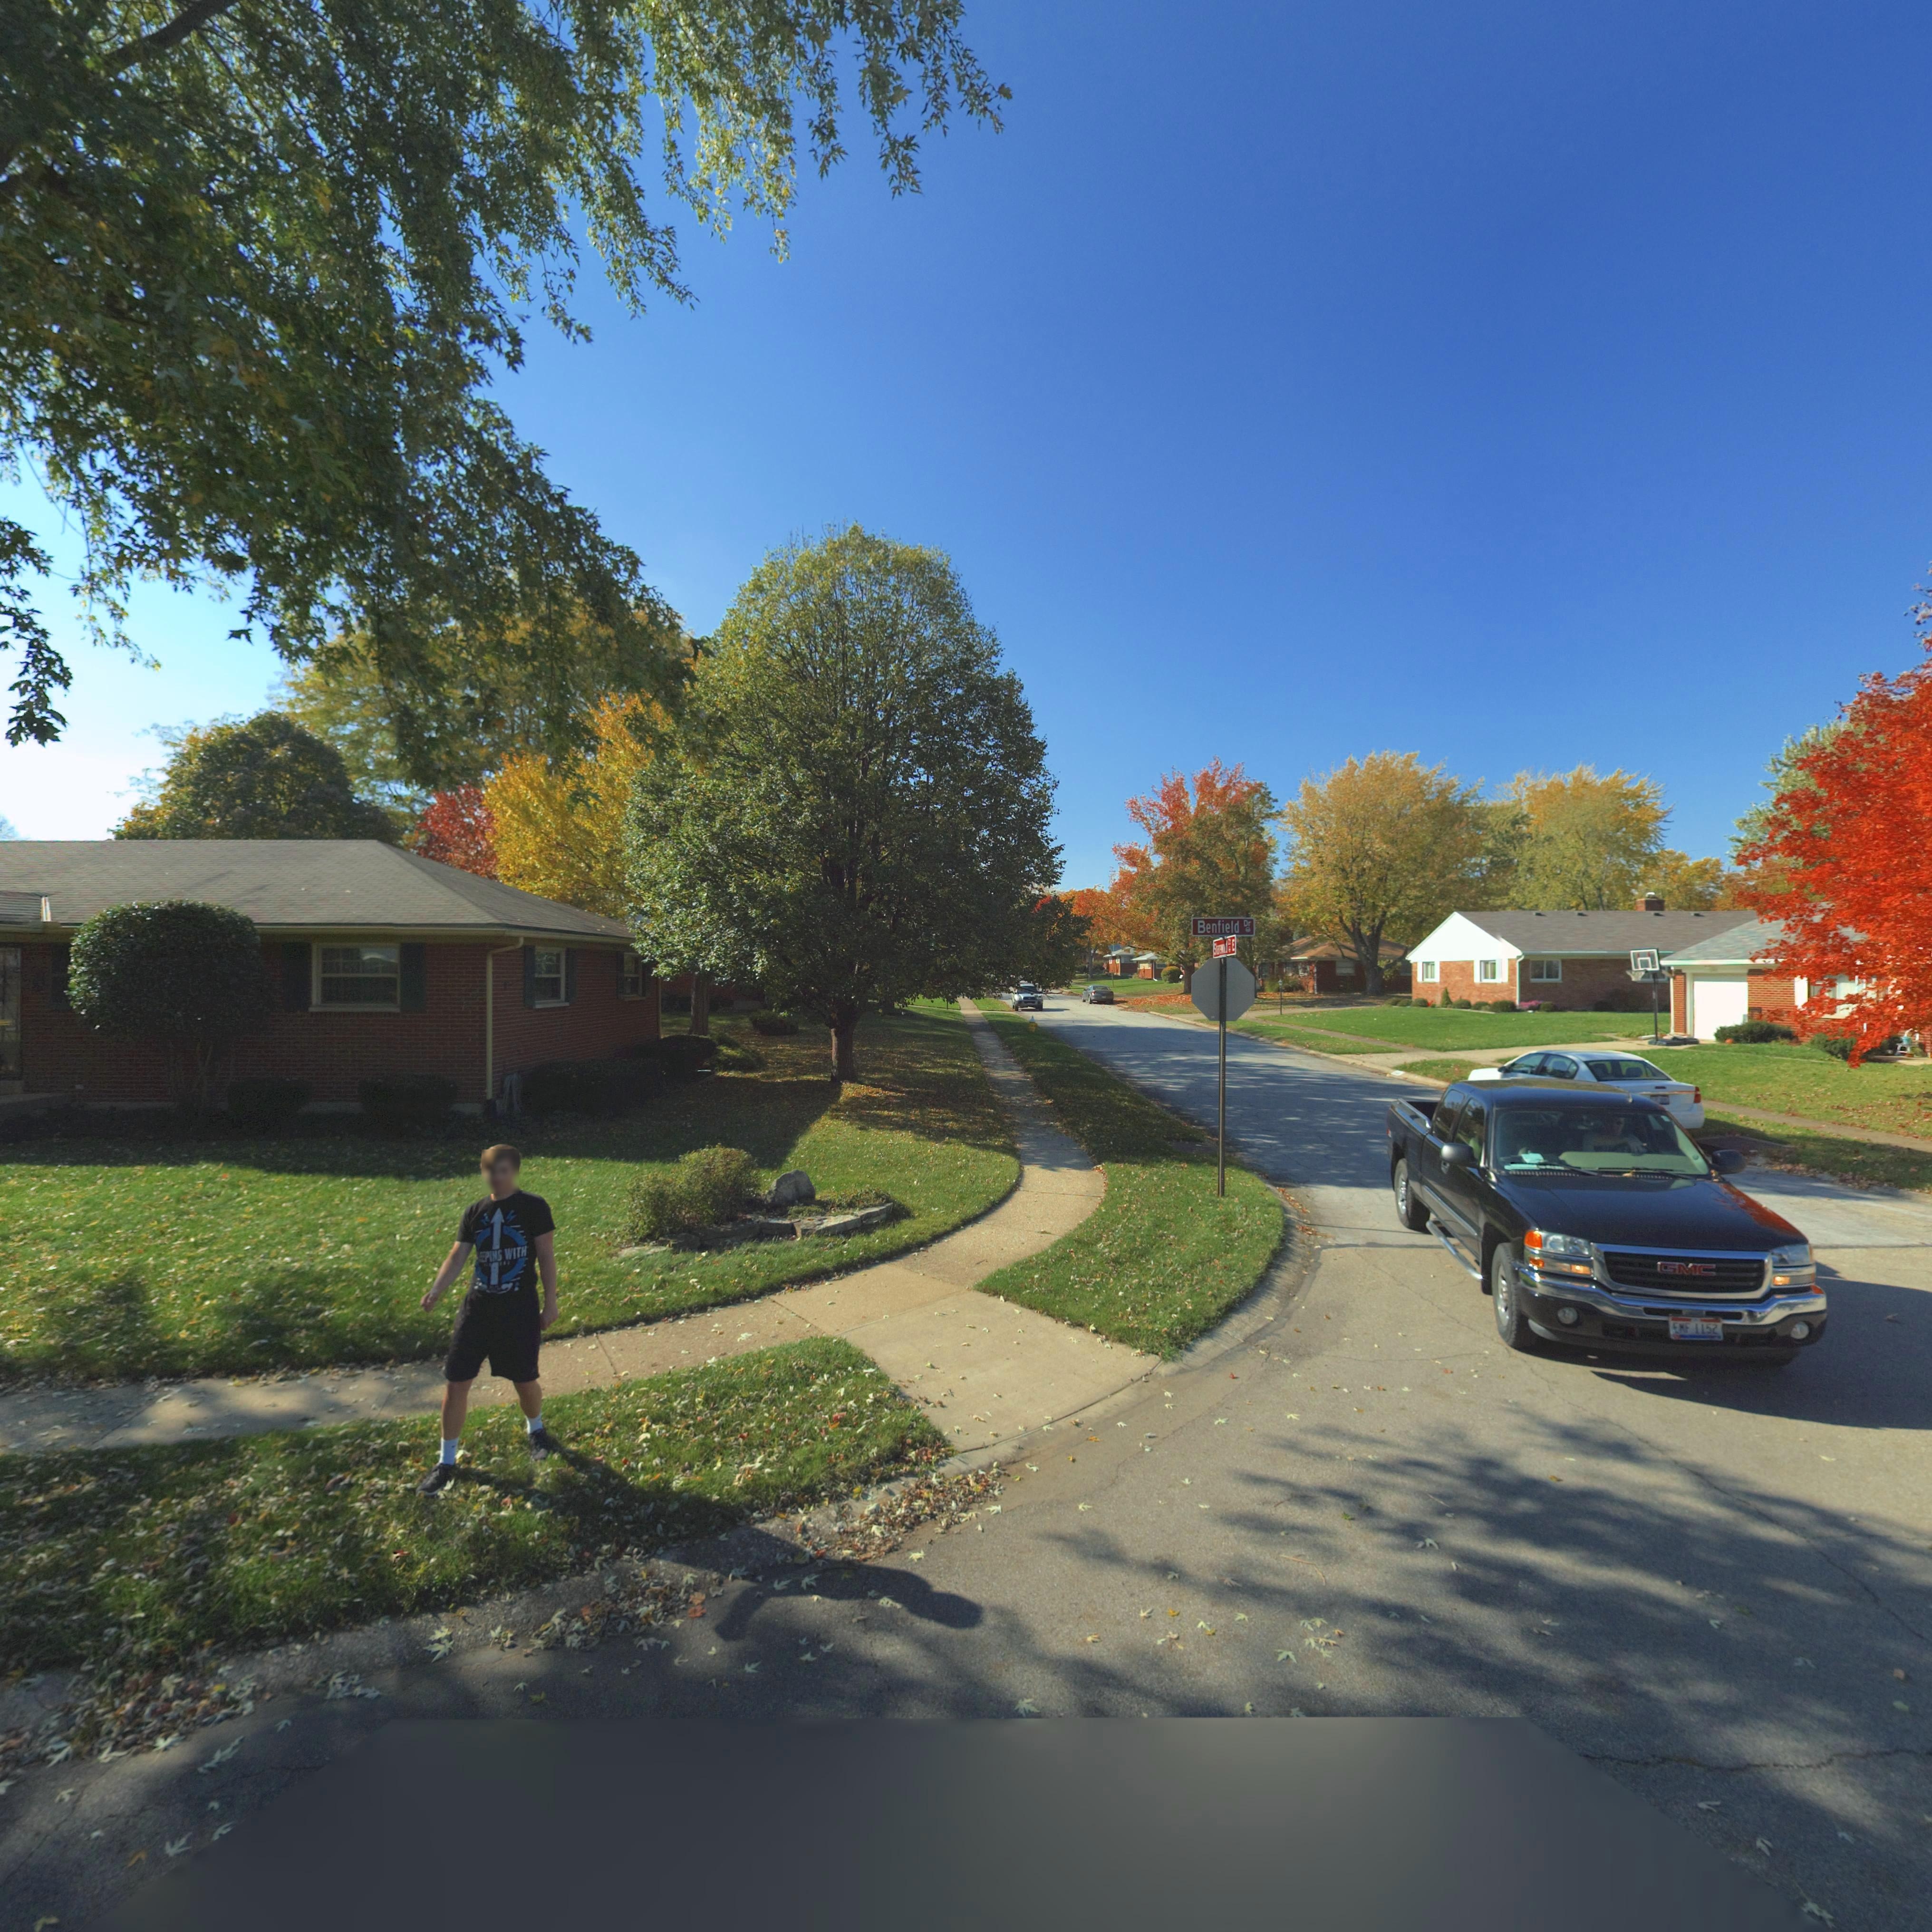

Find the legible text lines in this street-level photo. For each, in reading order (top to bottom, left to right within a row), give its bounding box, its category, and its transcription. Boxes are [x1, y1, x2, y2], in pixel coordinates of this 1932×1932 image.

[1197, 918, 1252, 934] StreetName: Benfield Dr
[1231, 937, 1236, 952] StreetName: E